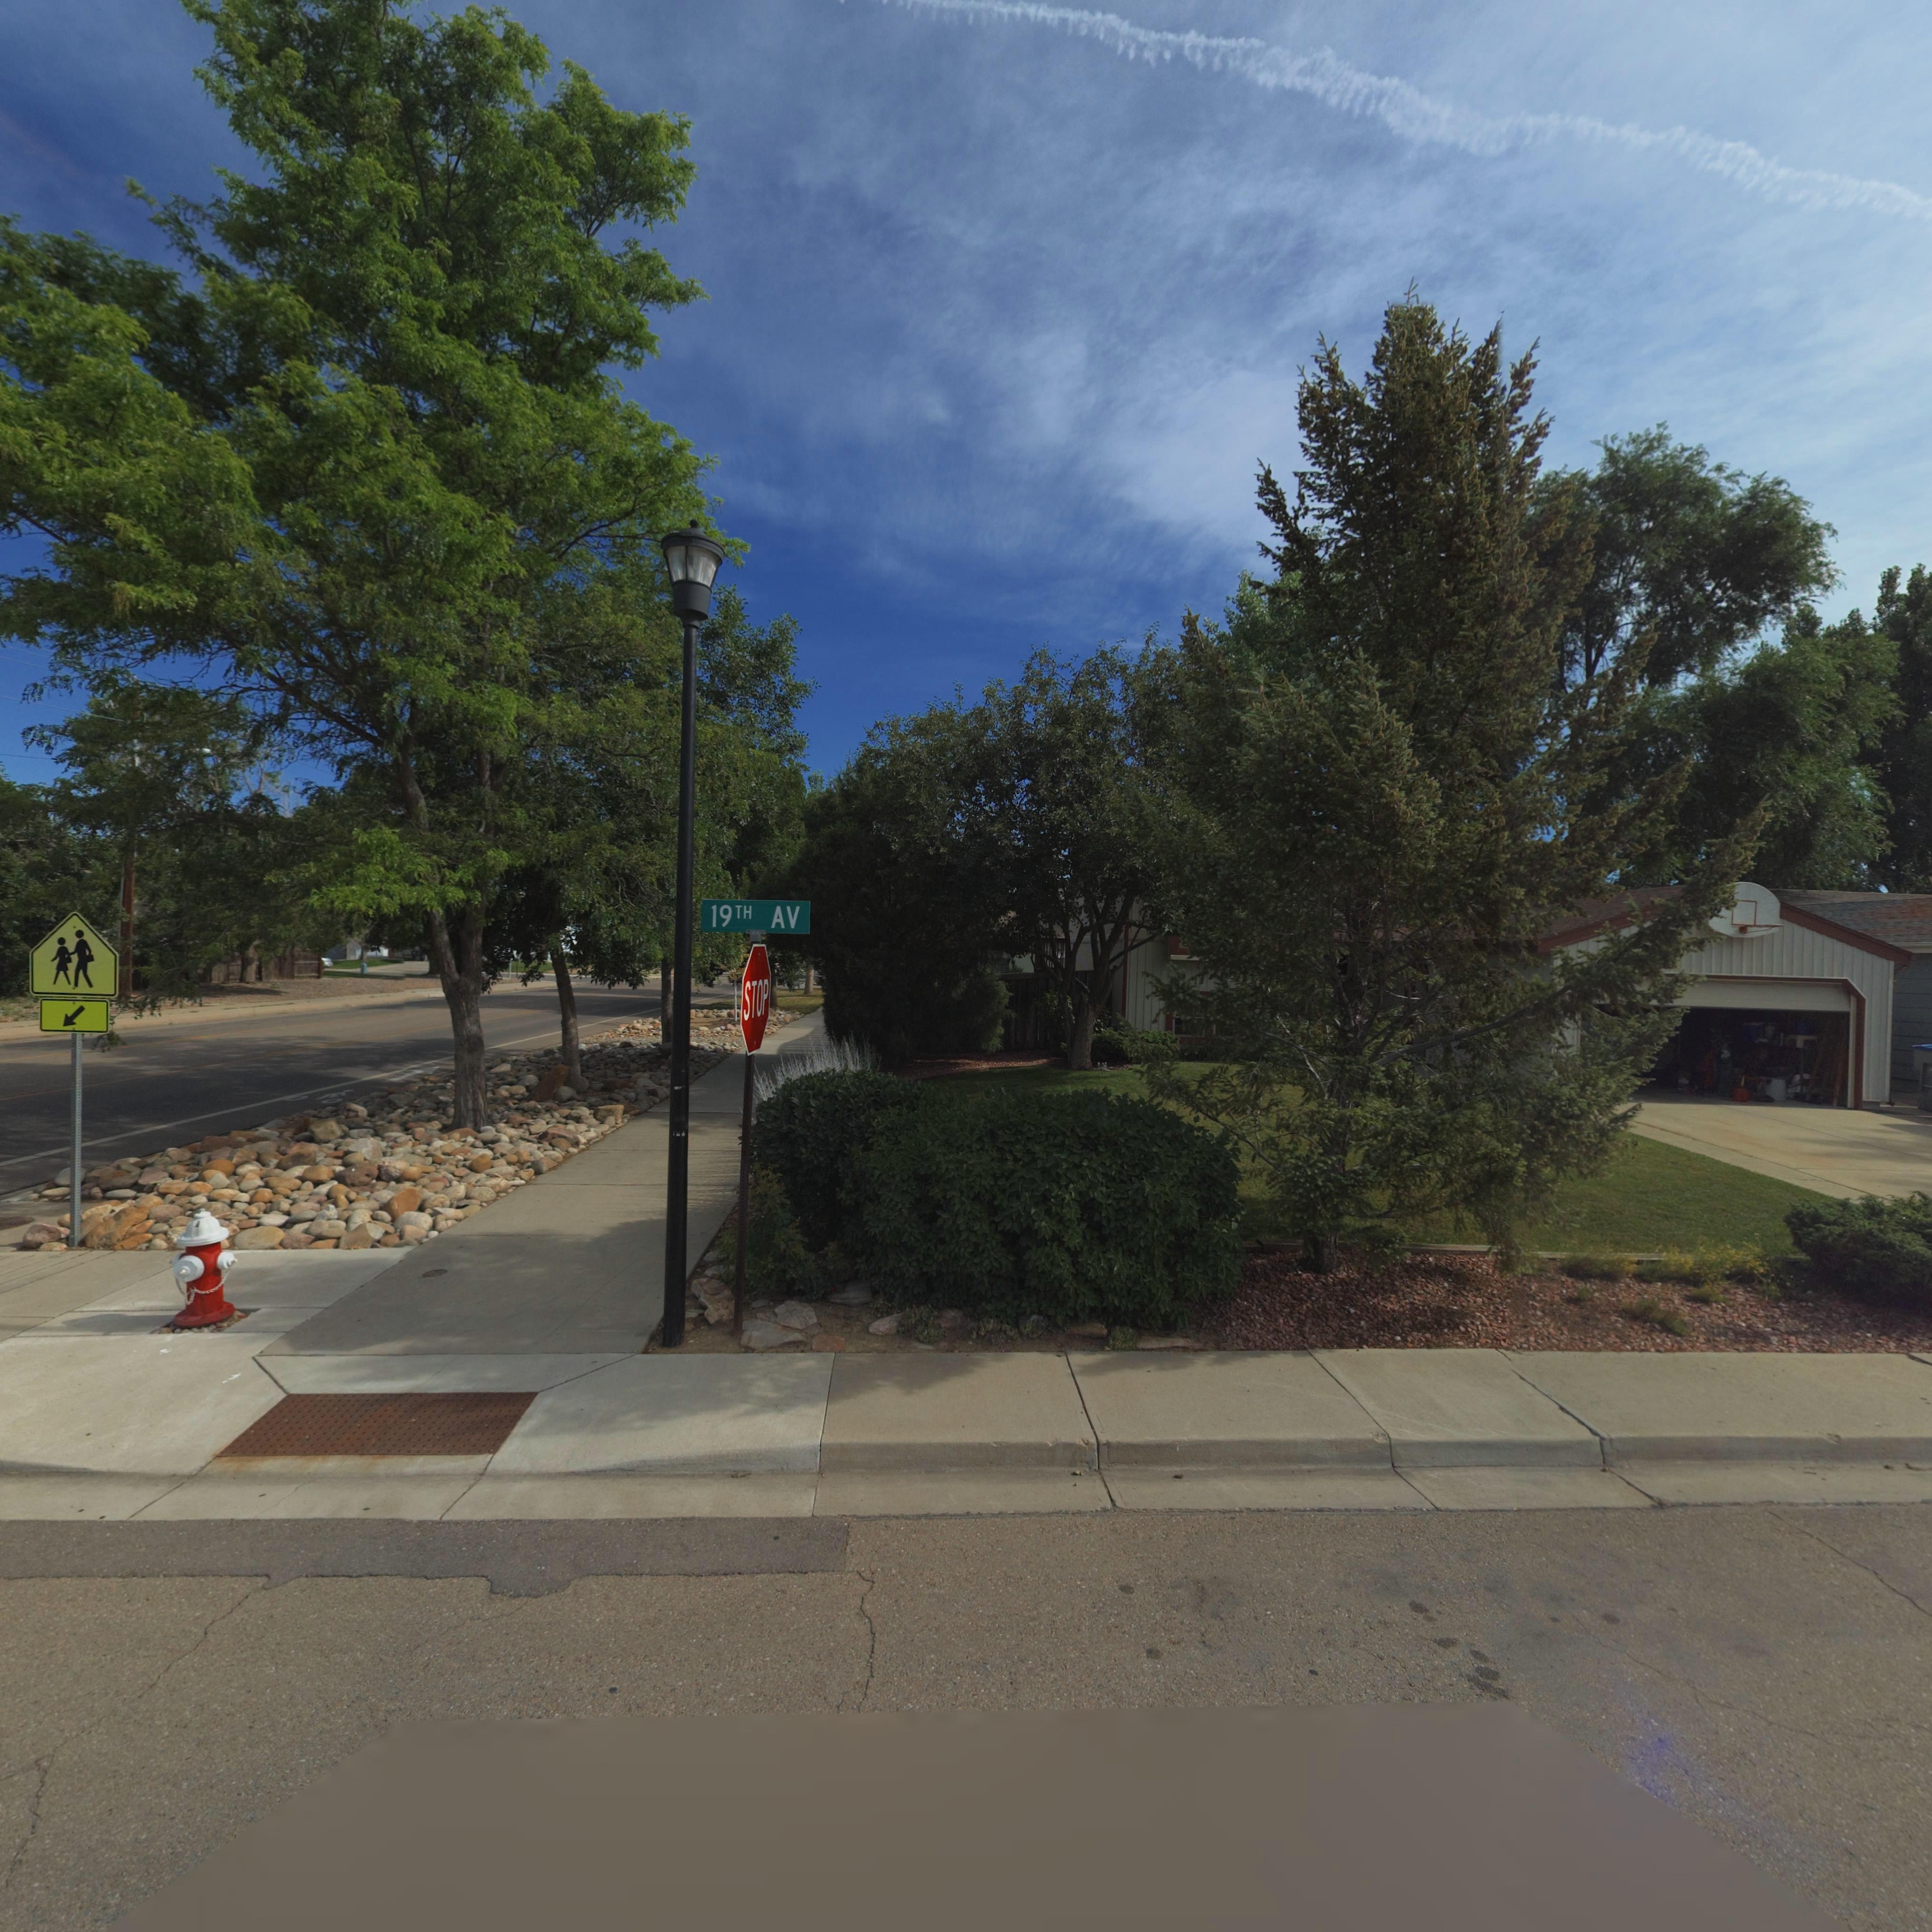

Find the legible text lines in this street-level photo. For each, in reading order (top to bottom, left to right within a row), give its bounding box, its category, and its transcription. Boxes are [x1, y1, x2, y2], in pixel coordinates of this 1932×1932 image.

[710, 904, 801, 929] StreetName: 19TH AV